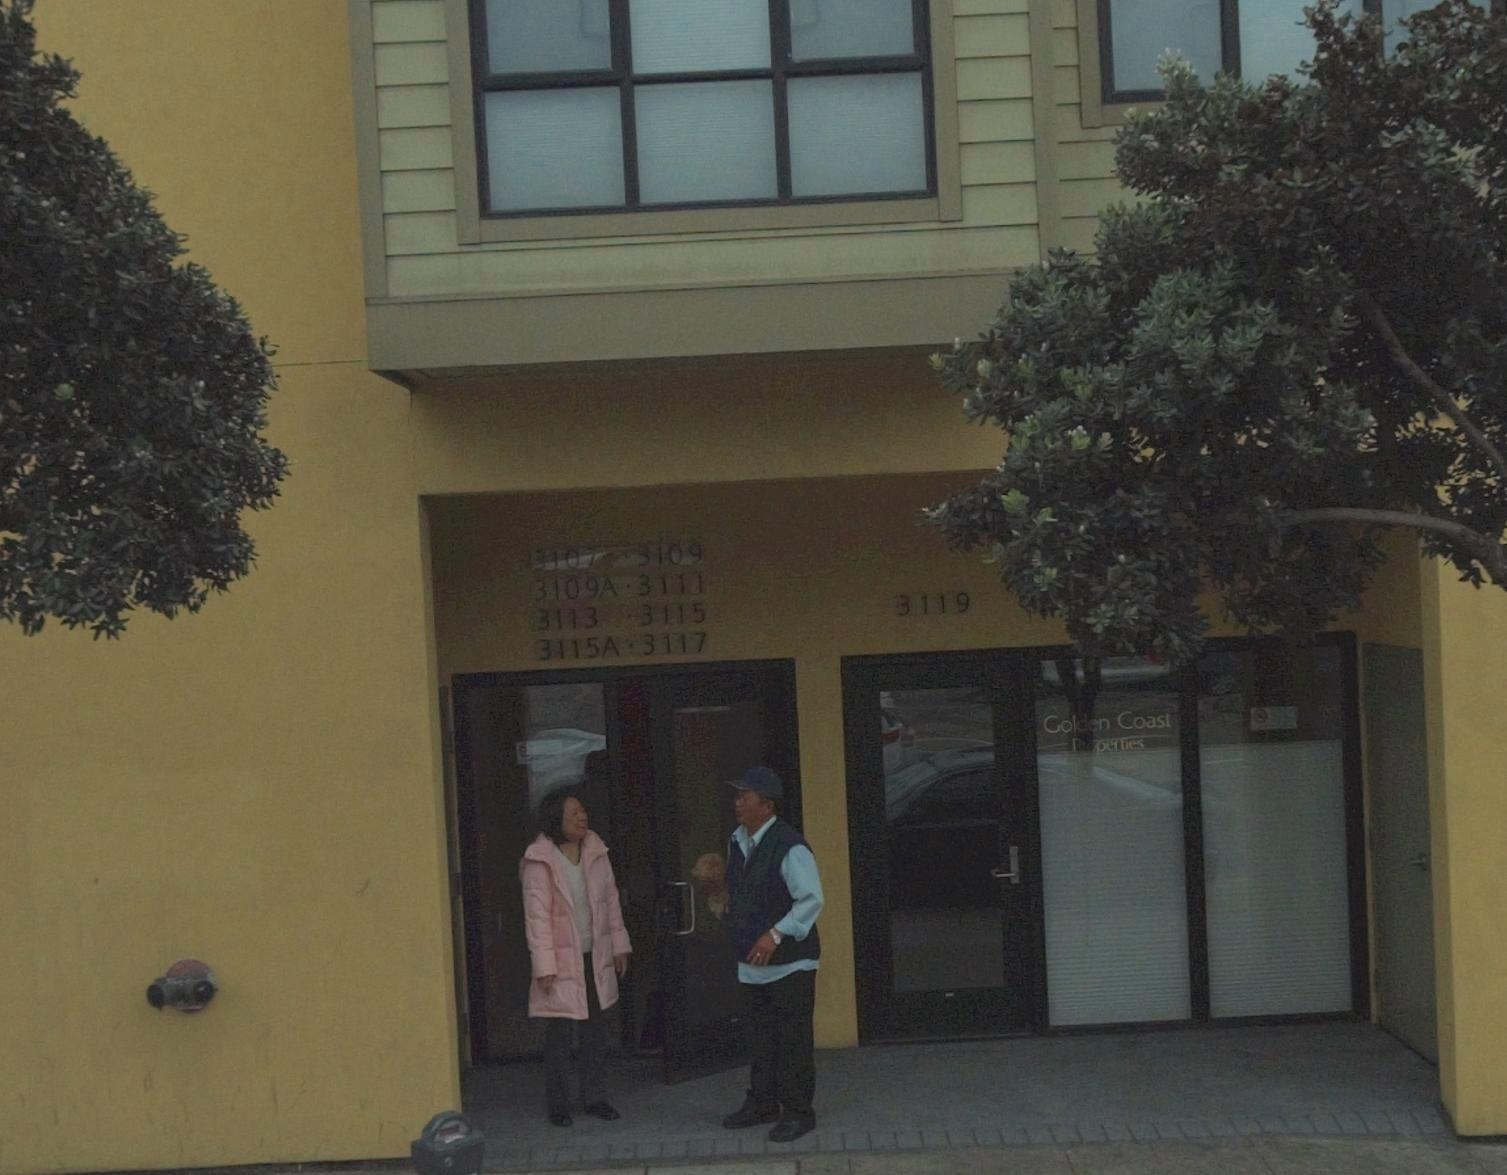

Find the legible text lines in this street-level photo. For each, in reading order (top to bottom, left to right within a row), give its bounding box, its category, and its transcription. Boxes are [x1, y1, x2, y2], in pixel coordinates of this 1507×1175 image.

[534, 544, 599, 573] StreetNumber: 3107
[635, 539, 703, 570] StreetNumber: 3109
[532, 574, 623, 603] StreetNumber: 3109A
[636, 570, 705, 597] StreetNumber: 3111
[536, 605, 597, 632] StreetNumber: 3113
[639, 599, 707, 628] StreetNumber: 3115
[896, 590, 970, 618] StreetNumber: 3119
[536, 634, 625, 663] StreetNumber: 3115A
[642, 629, 709, 657] StreetNumber: 3117
[1041, 708, 1172, 735] BusinessName: Golden Coast
[1070, 734, 1145, 758] BusinessName: Properties